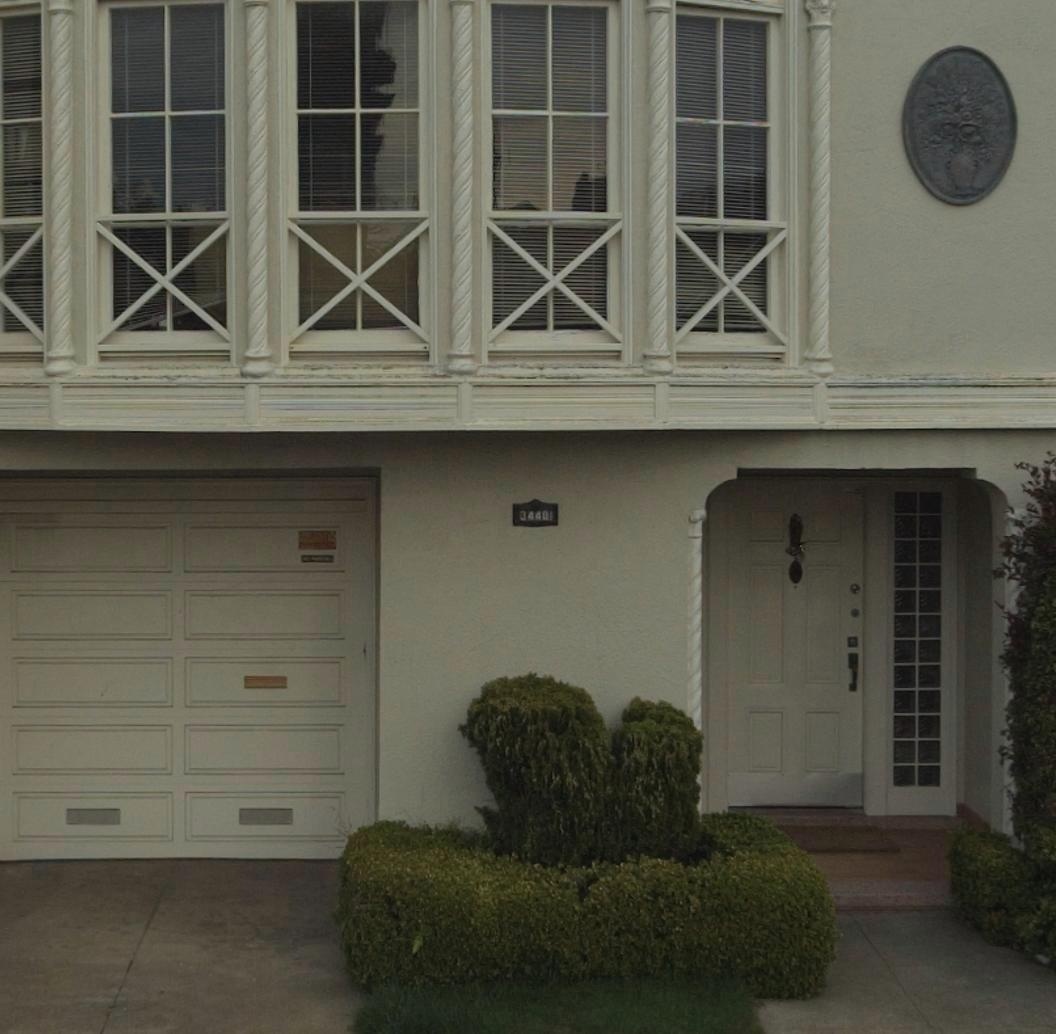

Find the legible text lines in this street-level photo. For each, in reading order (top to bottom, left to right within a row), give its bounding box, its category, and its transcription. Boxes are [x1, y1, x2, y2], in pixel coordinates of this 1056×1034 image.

[517, 509, 554, 522] StreetNumber: 3440